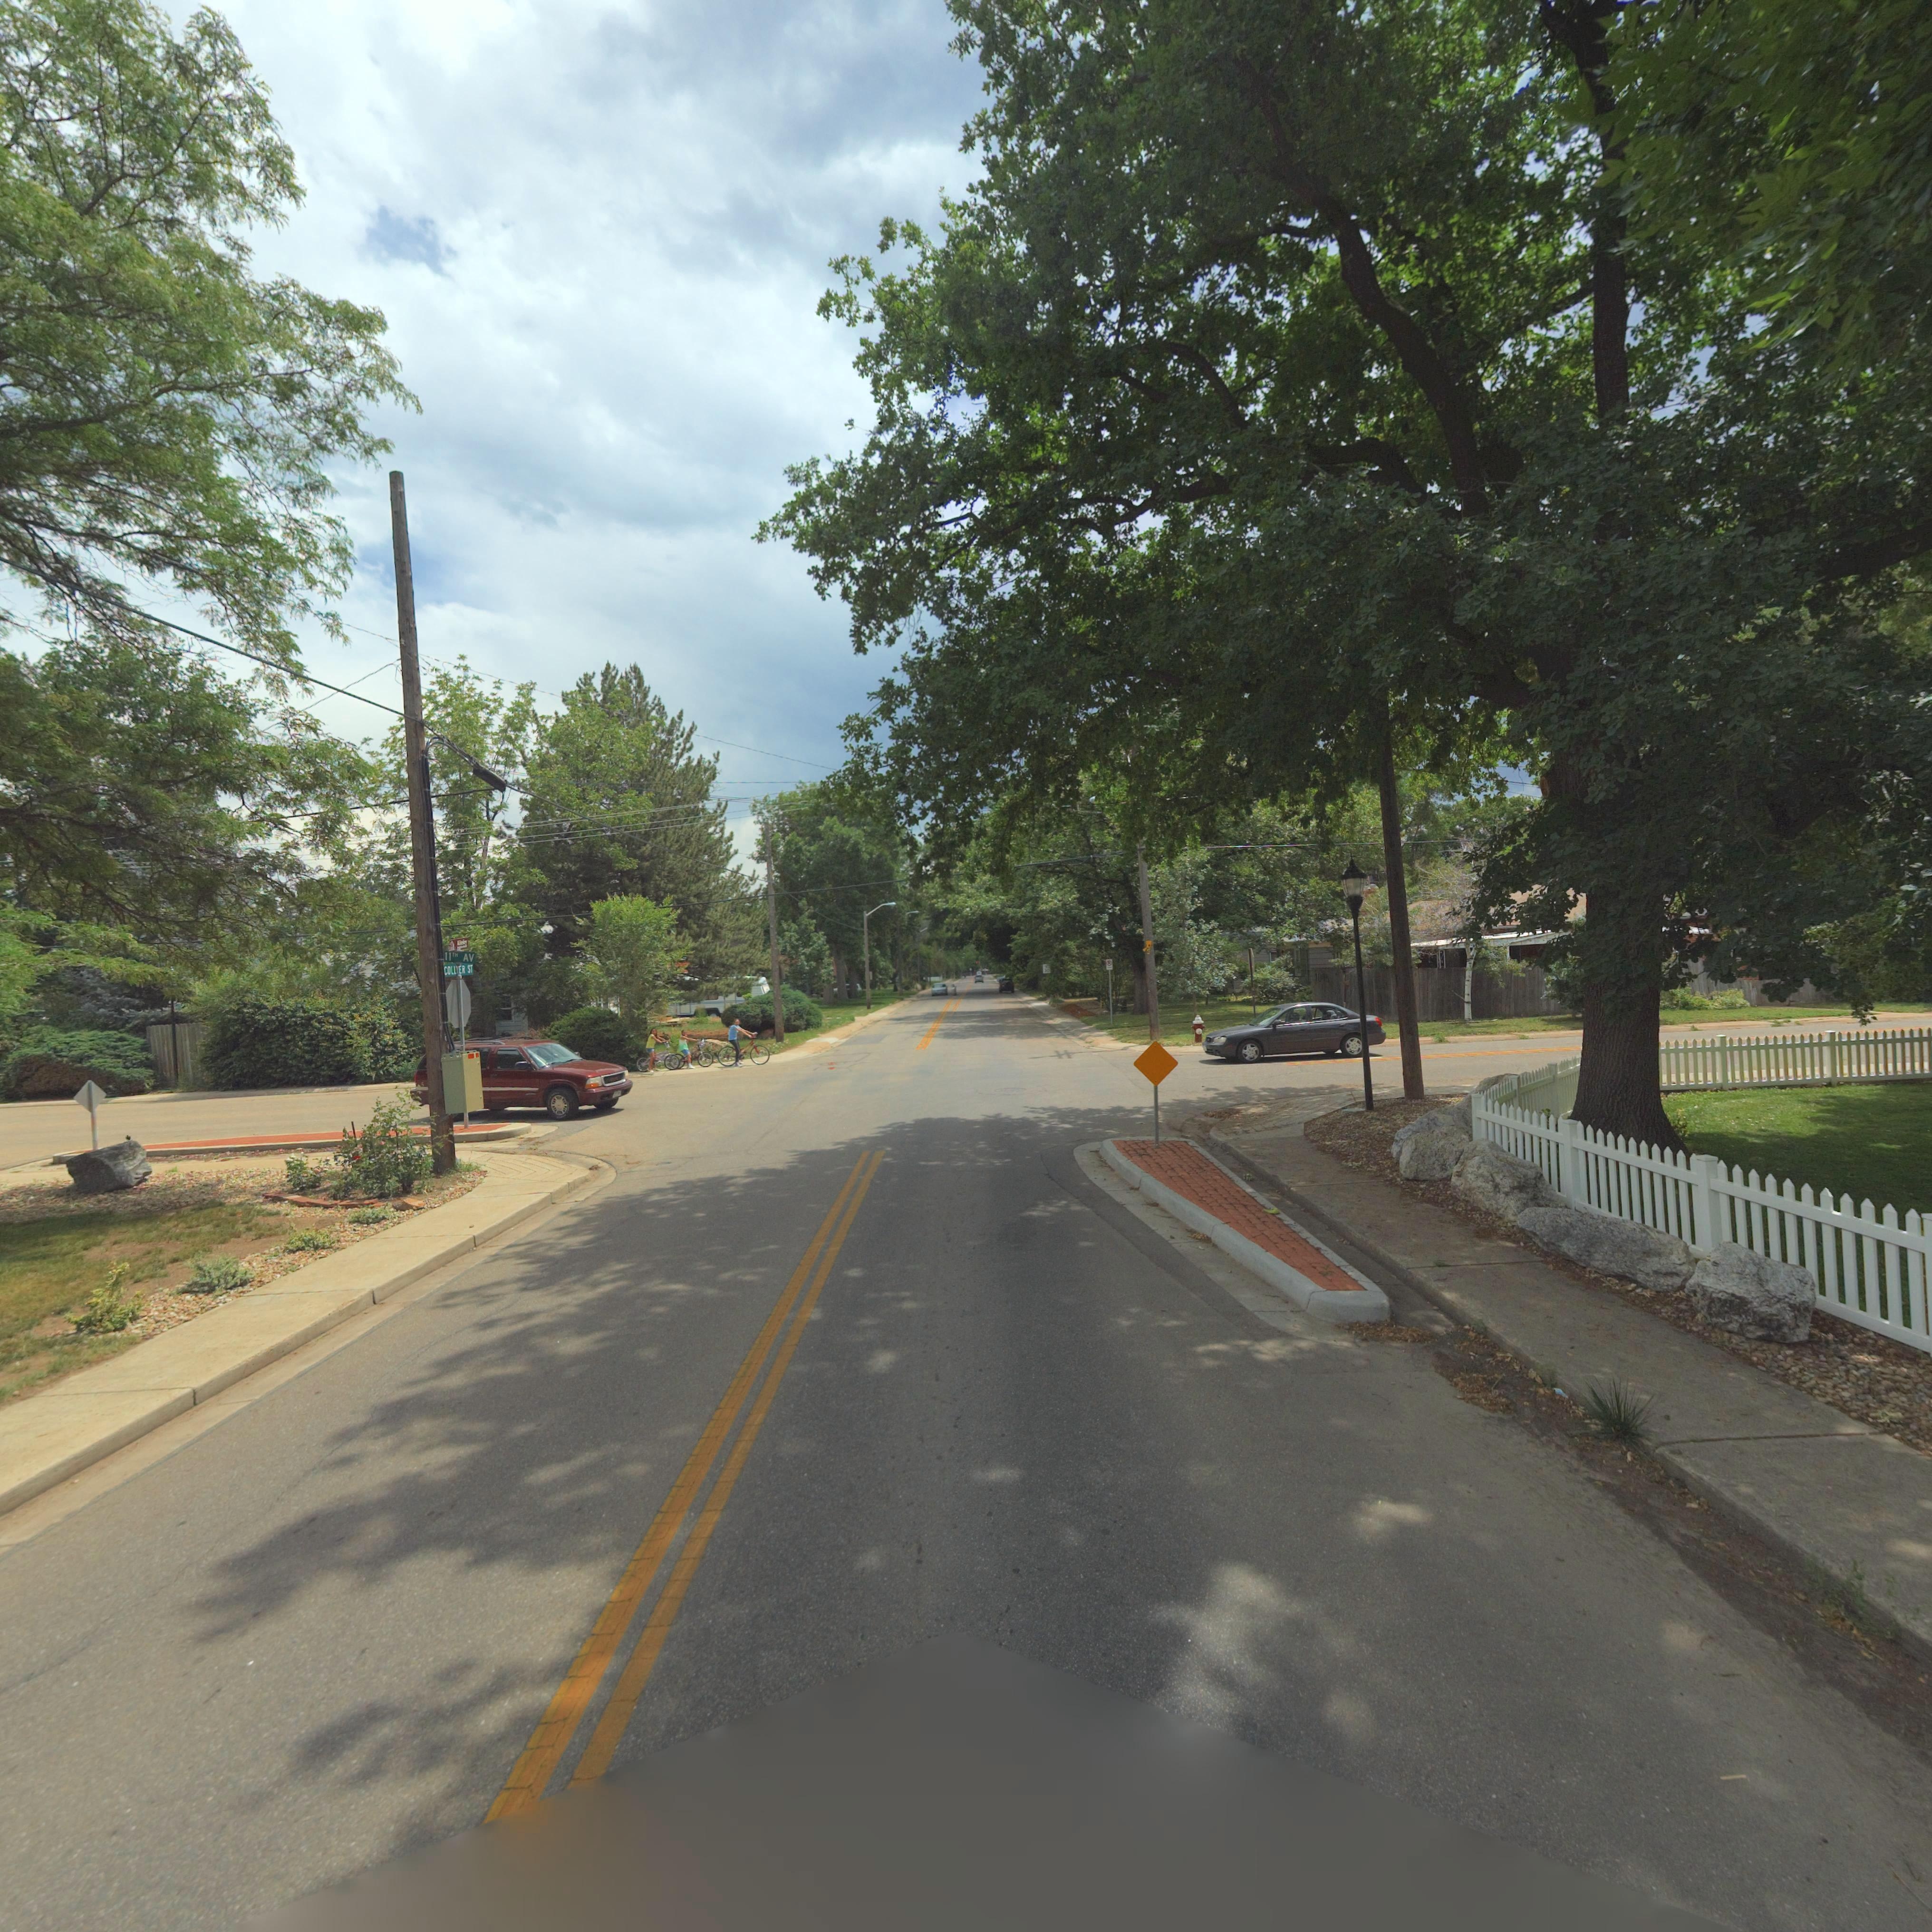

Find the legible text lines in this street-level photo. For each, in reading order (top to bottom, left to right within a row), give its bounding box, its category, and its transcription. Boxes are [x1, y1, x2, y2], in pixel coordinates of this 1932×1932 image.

[444, 952, 475, 962] StreetName: 11TH AV
[443, 964, 473, 976] StreetName: COLLYER ST